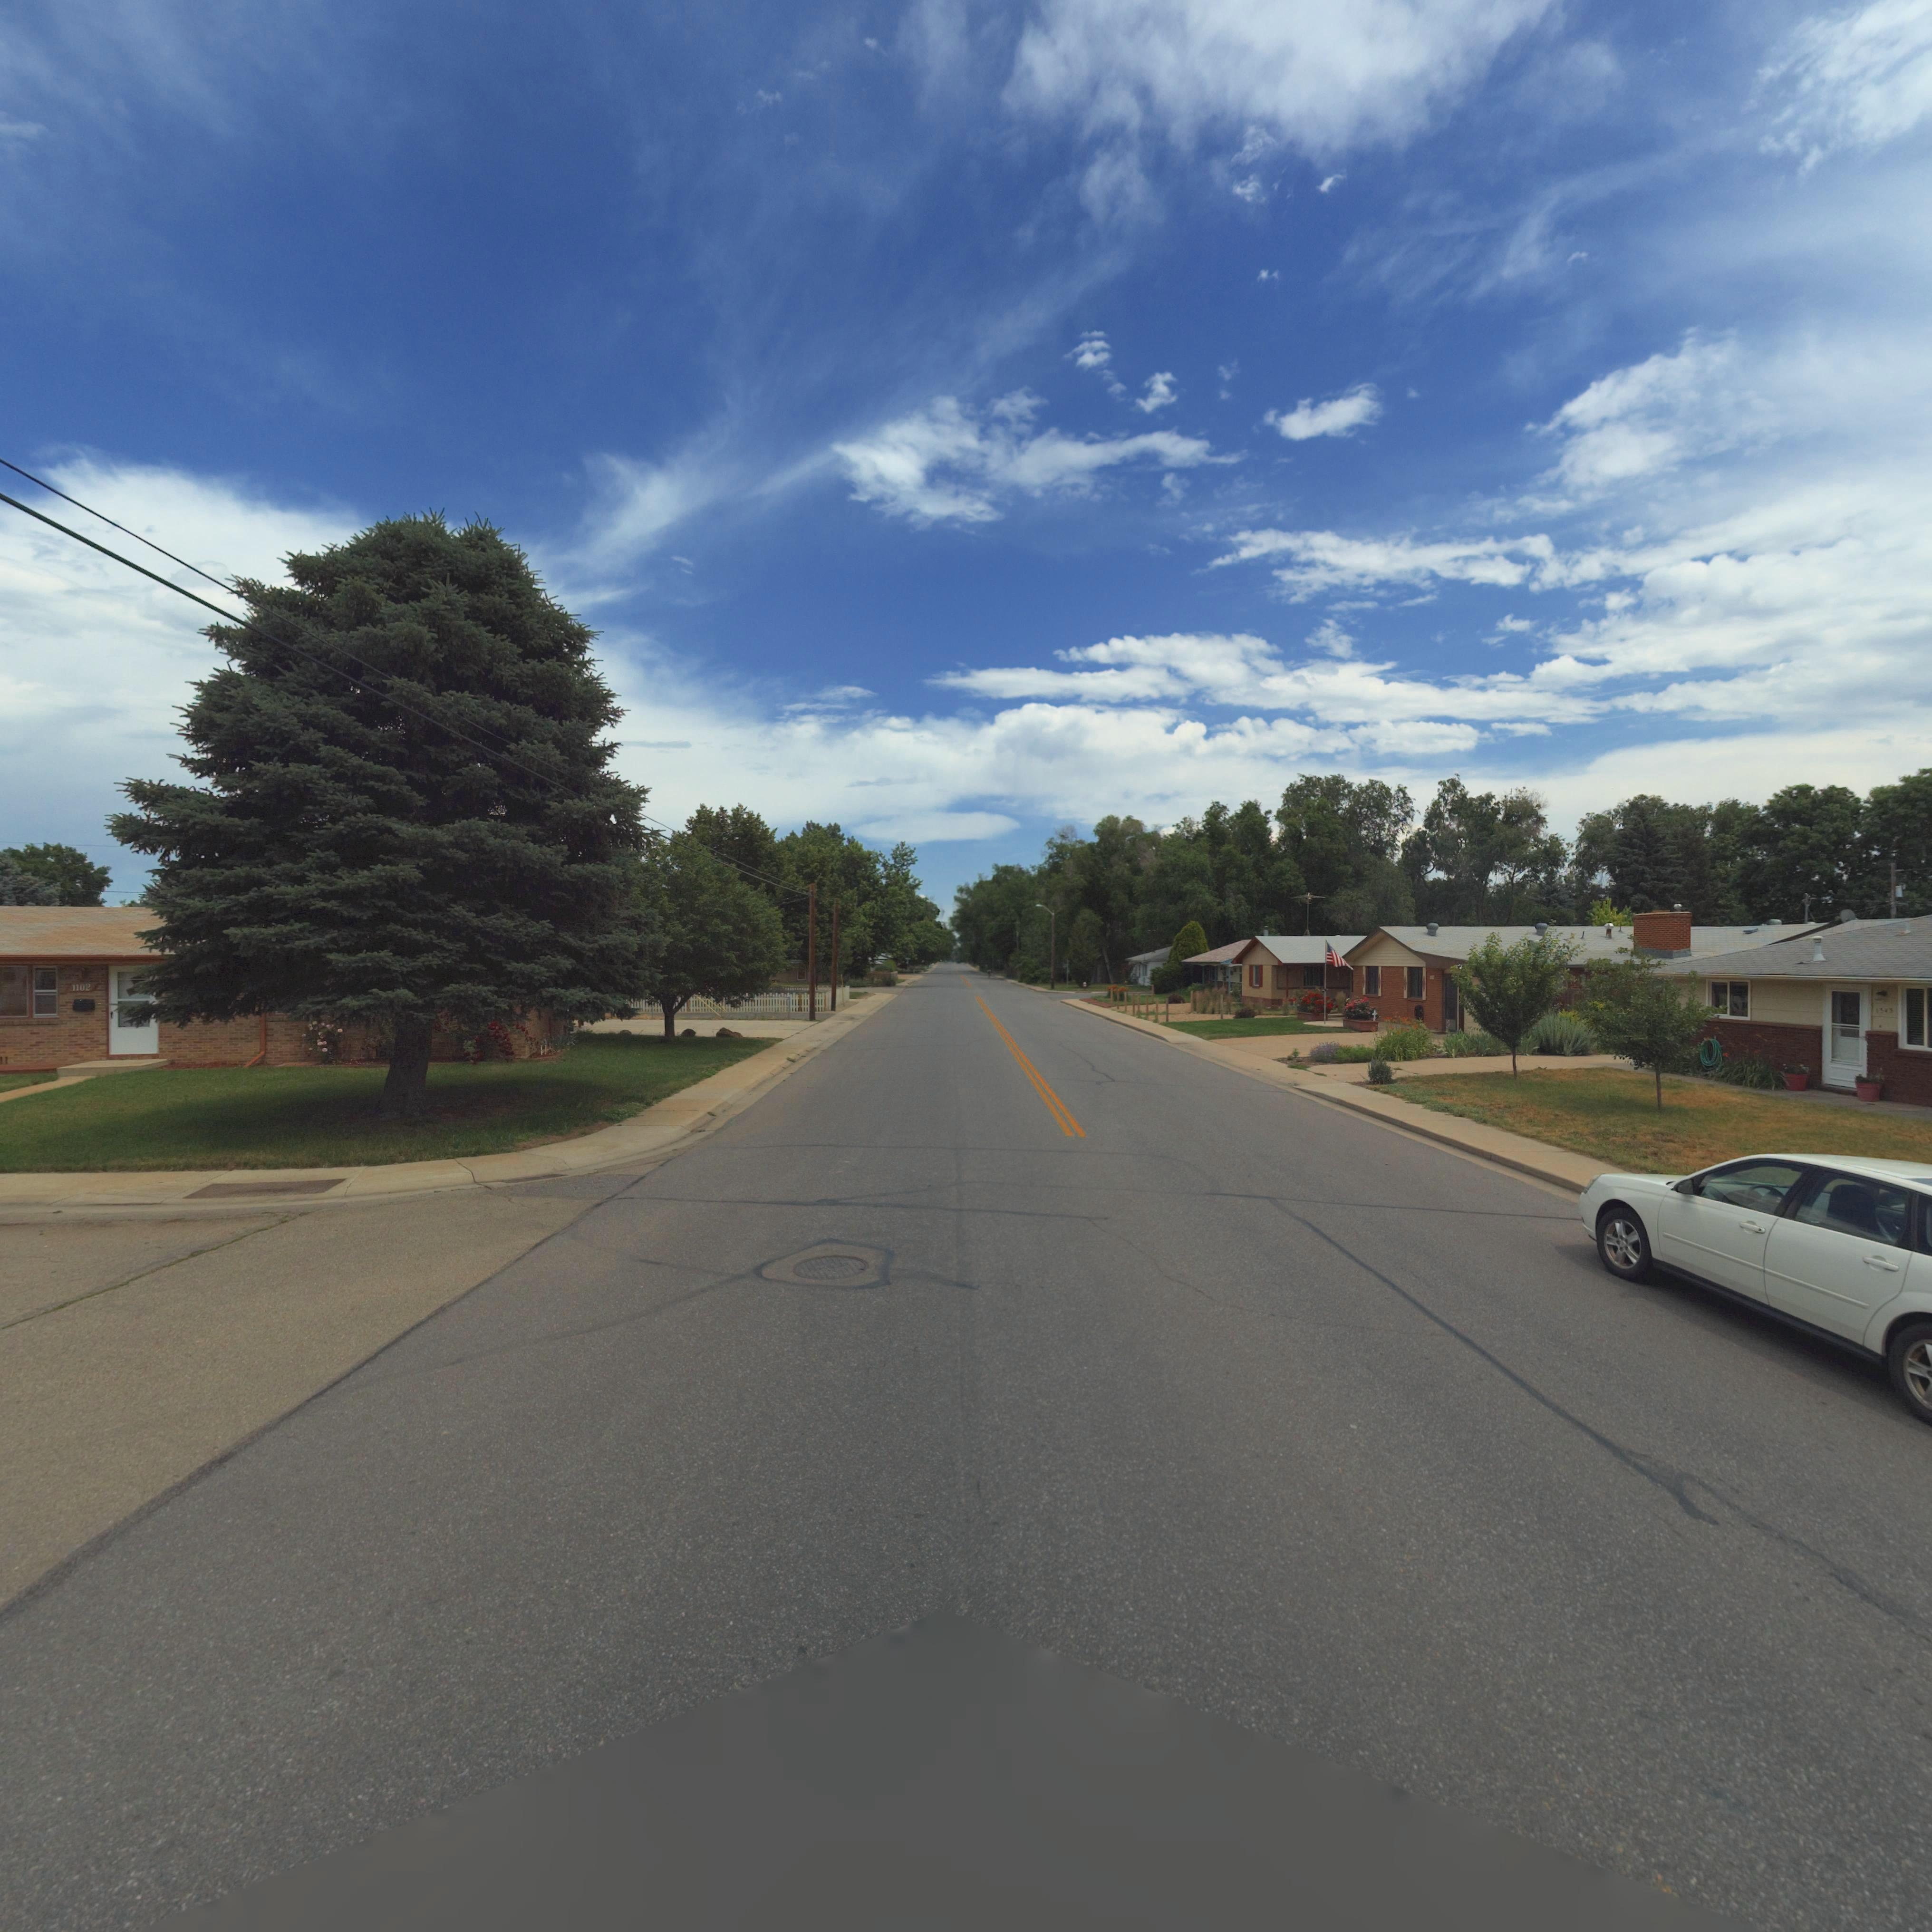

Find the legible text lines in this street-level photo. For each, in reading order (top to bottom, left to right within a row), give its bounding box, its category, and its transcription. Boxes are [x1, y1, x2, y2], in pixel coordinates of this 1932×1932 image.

[72, 983, 91, 991] StreetNumber: 1102
[1875, 1007, 1893, 1014] StreetNumber: 1*4*